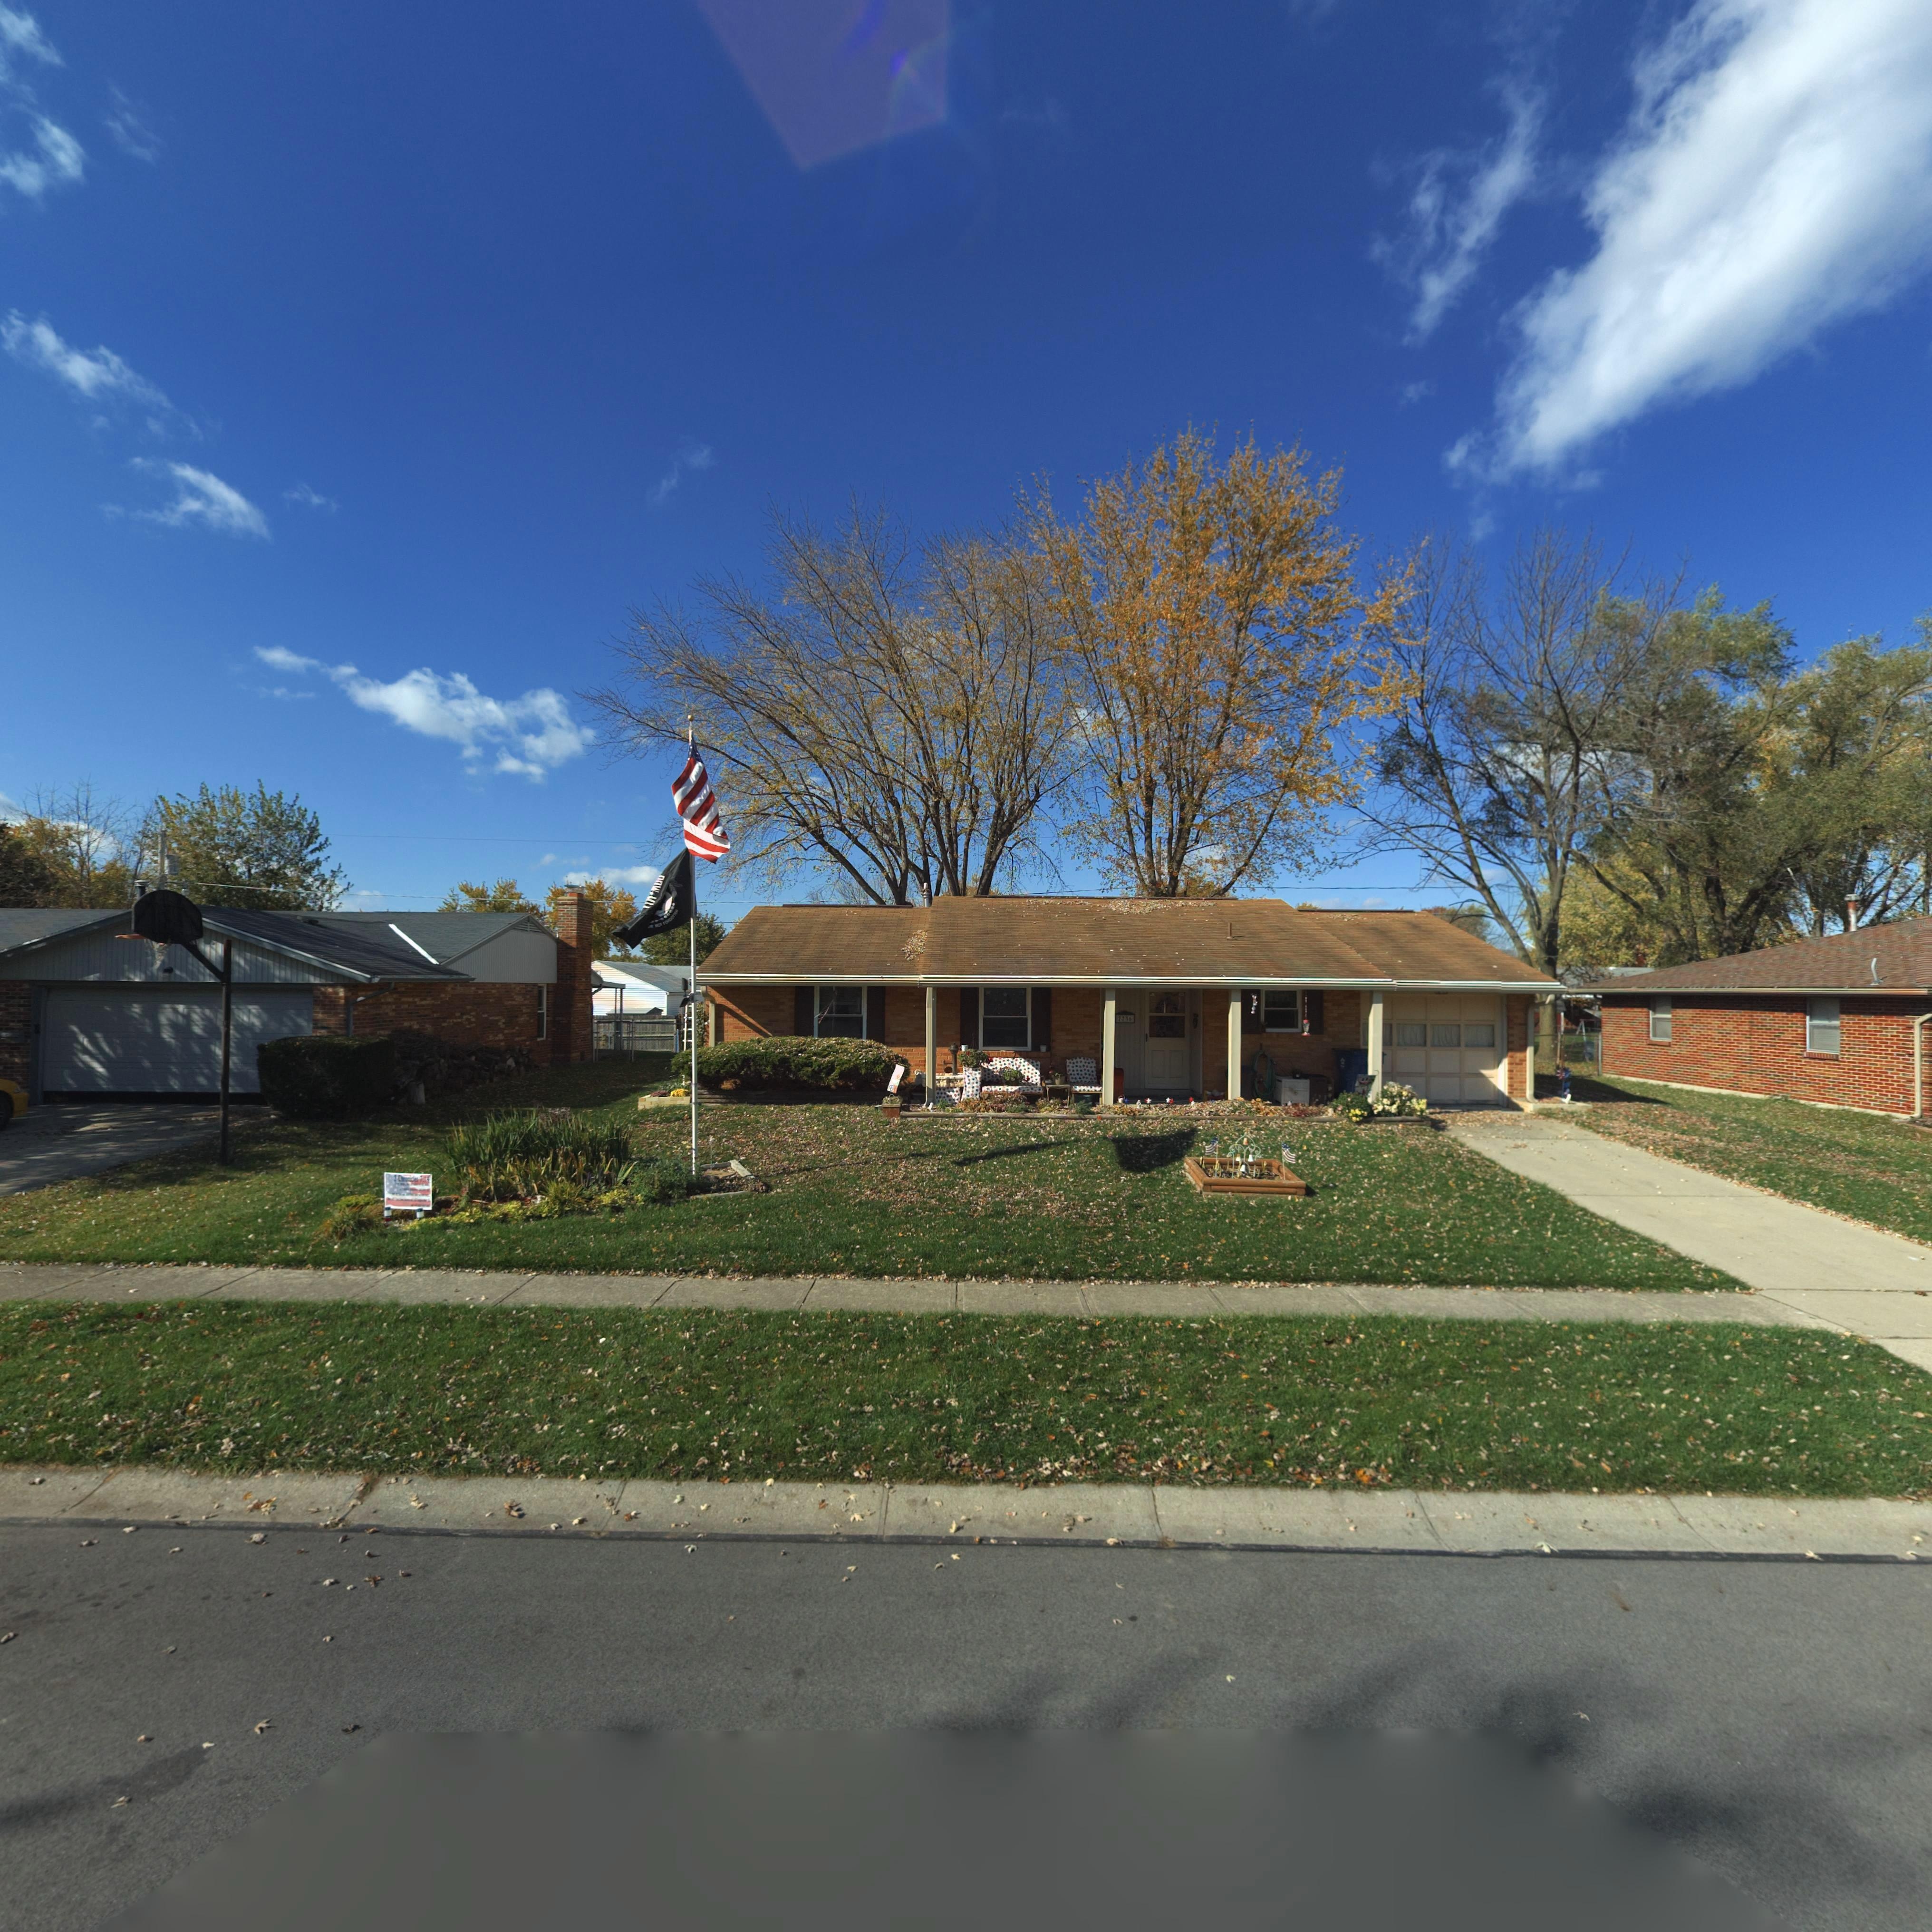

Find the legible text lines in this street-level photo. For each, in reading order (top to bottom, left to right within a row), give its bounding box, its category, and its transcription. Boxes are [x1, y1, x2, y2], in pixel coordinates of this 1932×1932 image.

[1117, 1015, 1132, 1023] StreetNumber: 77**